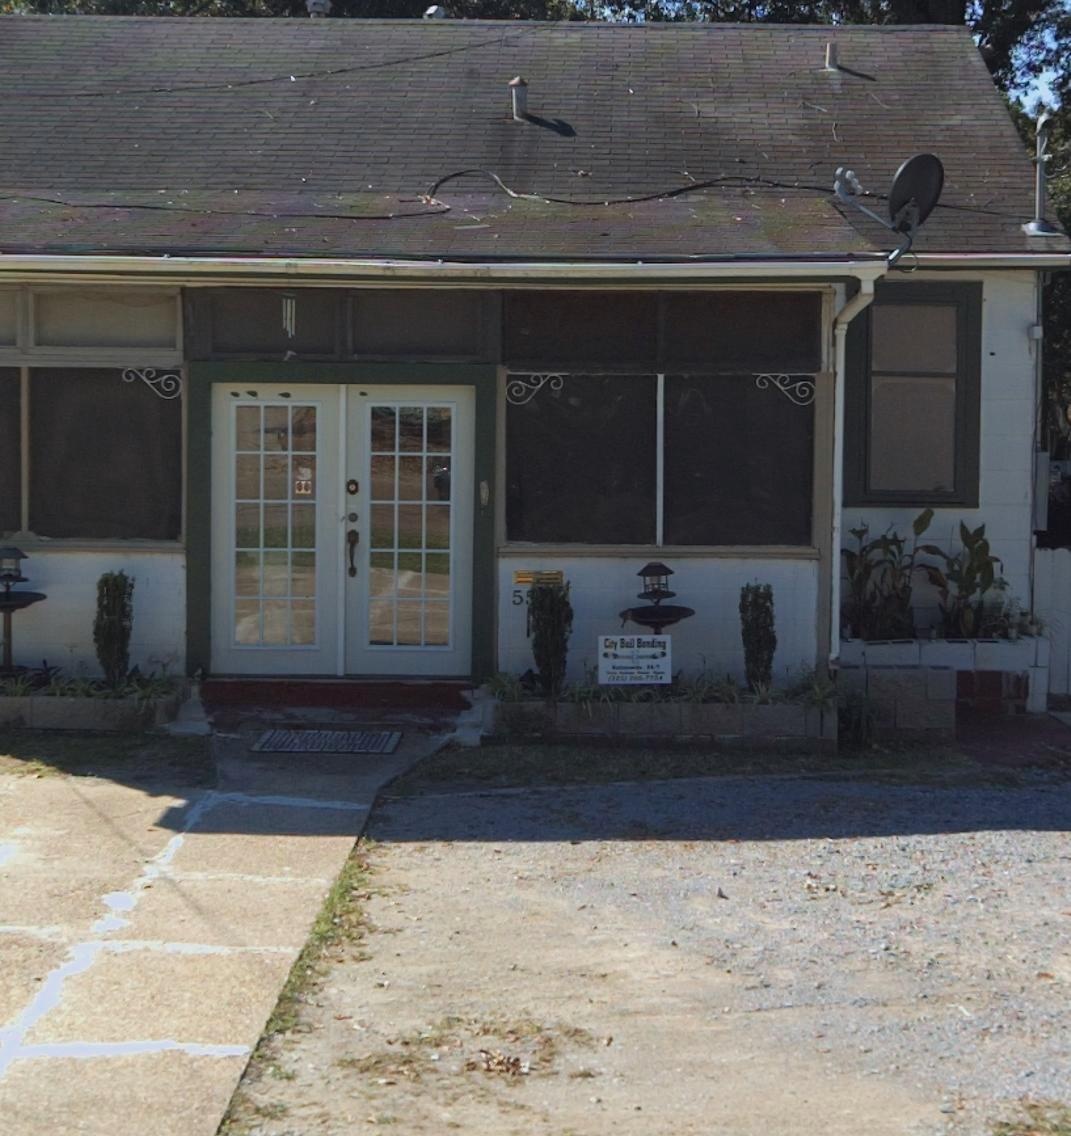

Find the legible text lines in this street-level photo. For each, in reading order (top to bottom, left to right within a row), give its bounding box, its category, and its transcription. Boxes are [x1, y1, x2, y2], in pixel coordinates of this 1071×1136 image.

[511, 588, 561, 606] StreetNumber: 5***
[603, 637, 667, 652] None: City Bail Bonding